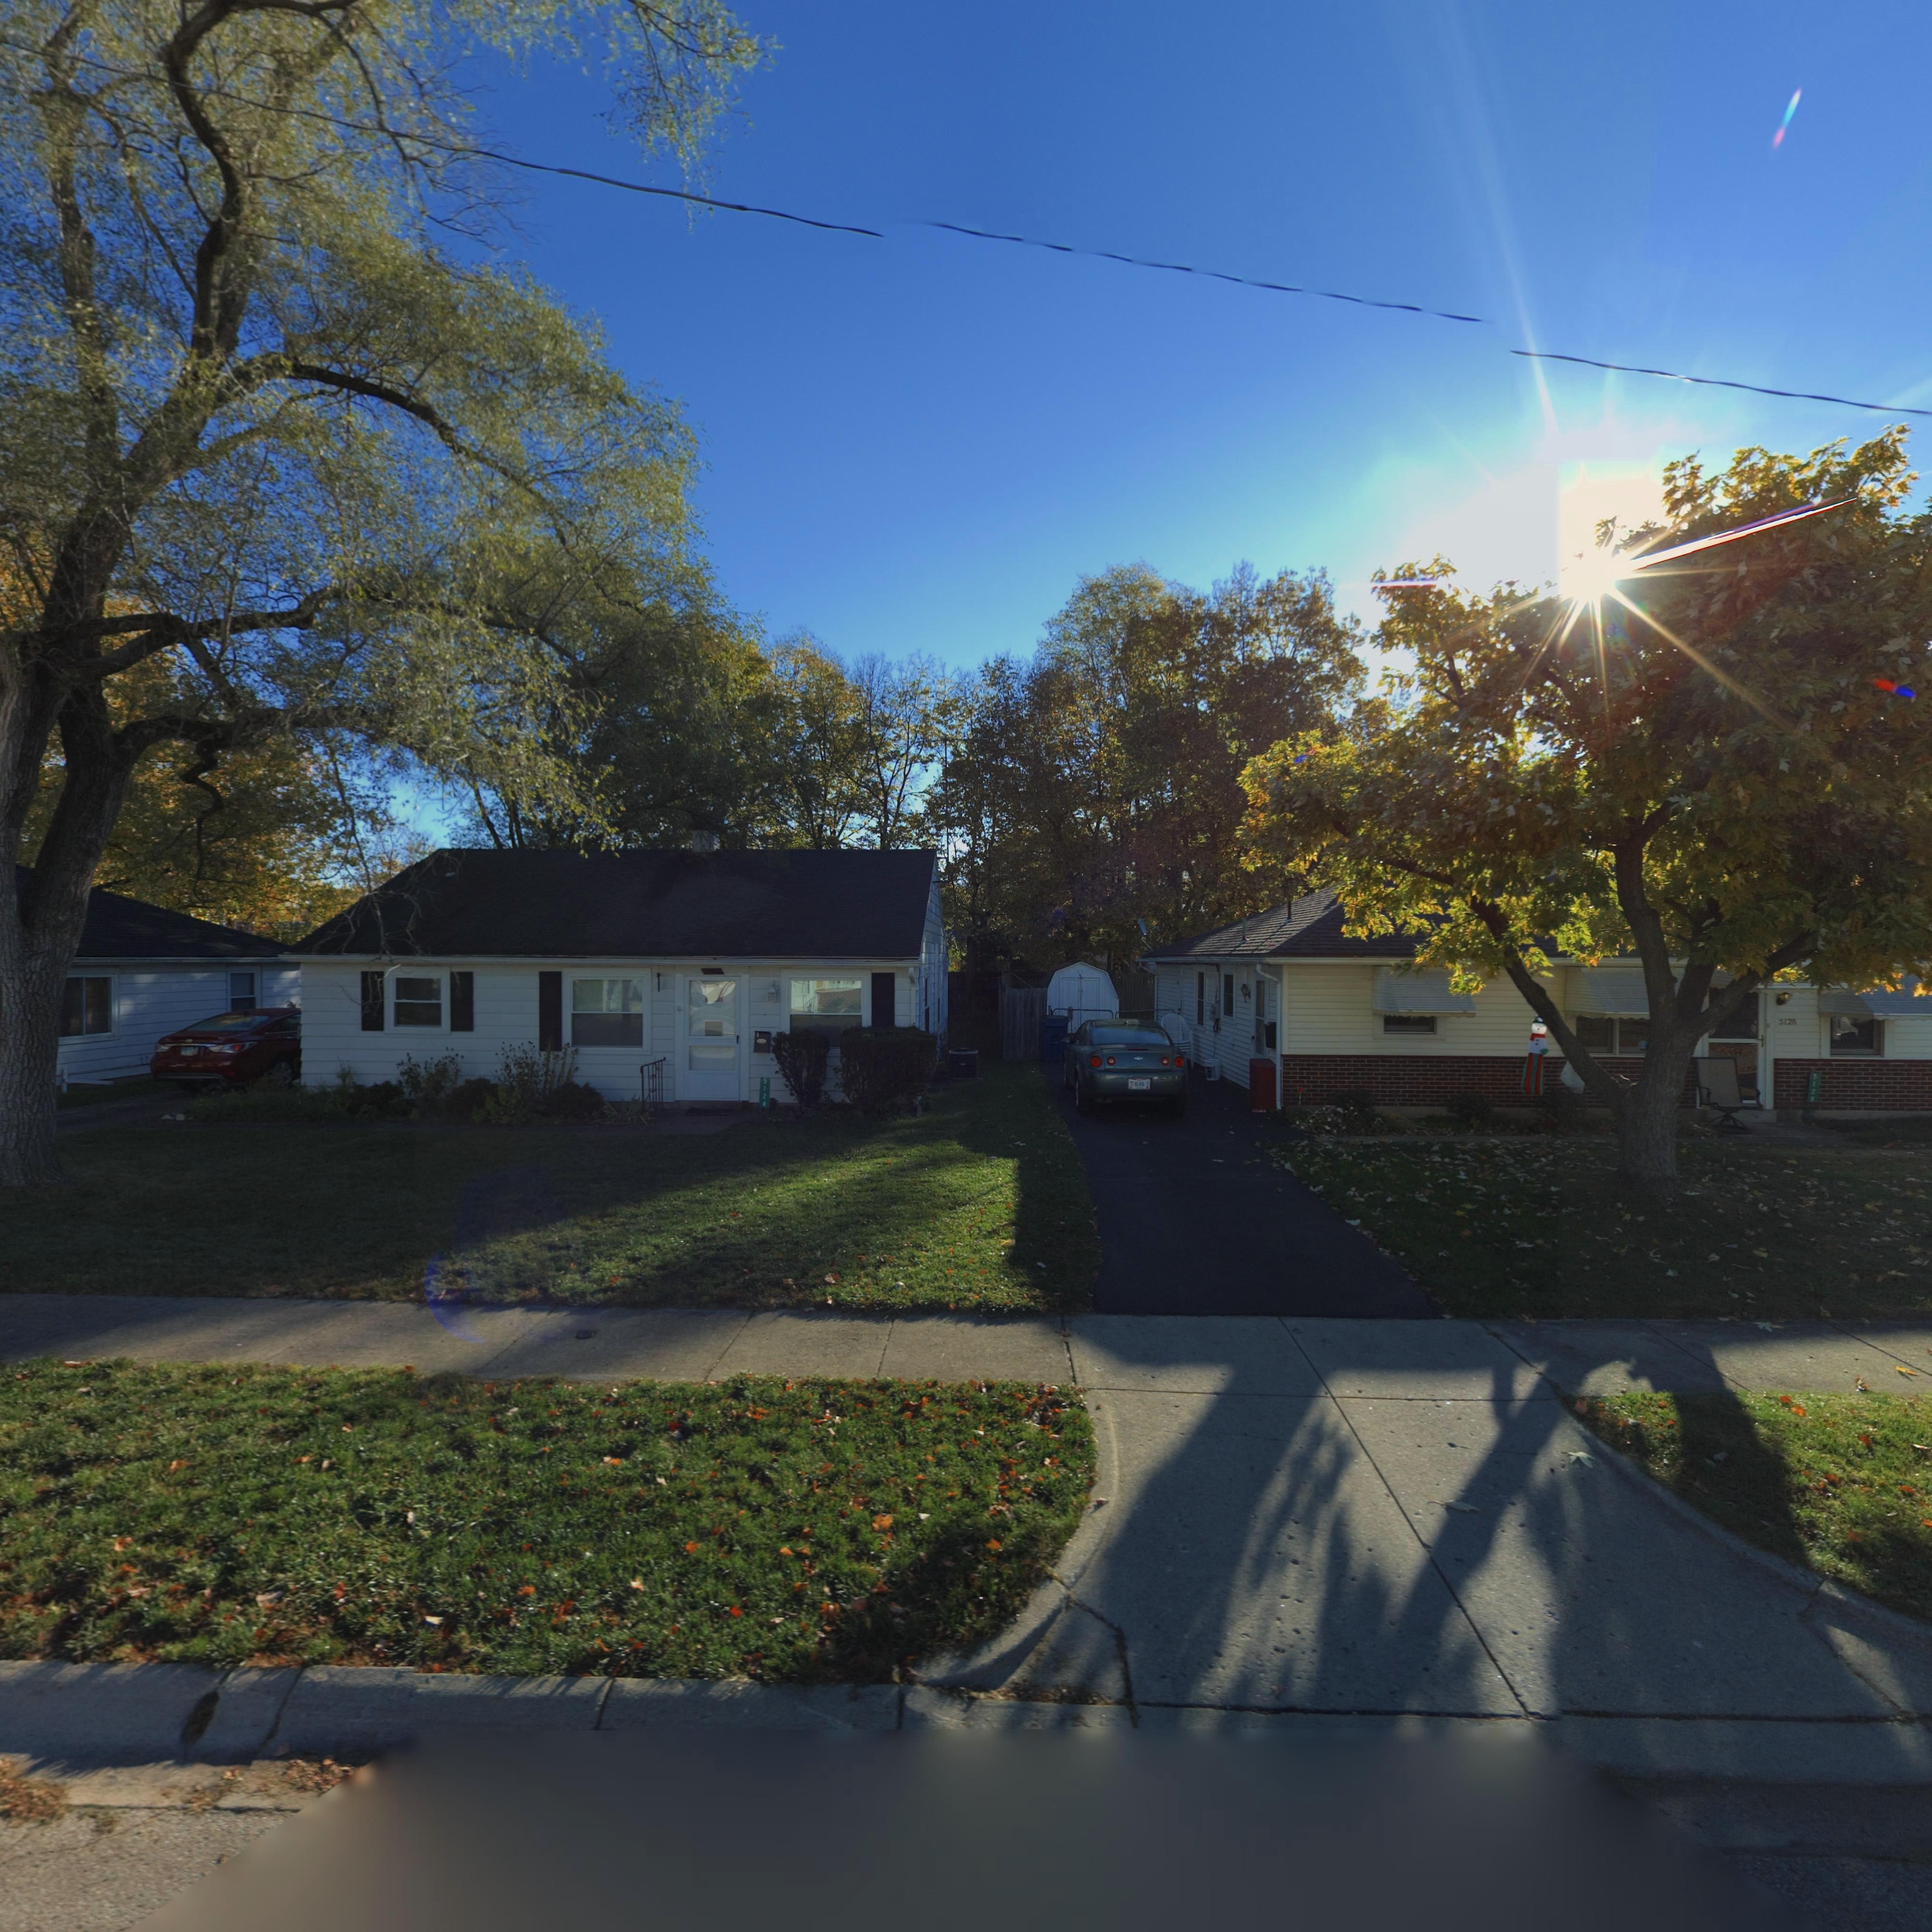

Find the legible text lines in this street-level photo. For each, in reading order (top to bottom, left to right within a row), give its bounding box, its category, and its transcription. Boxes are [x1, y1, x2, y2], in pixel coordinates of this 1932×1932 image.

[1778, 1018, 1797, 1025] StreetNumber: 5128
[762, 1077, 768, 1107] StreetNumber: 5124
[1809, 1073, 1818, 1102] StreetNumber: 5128